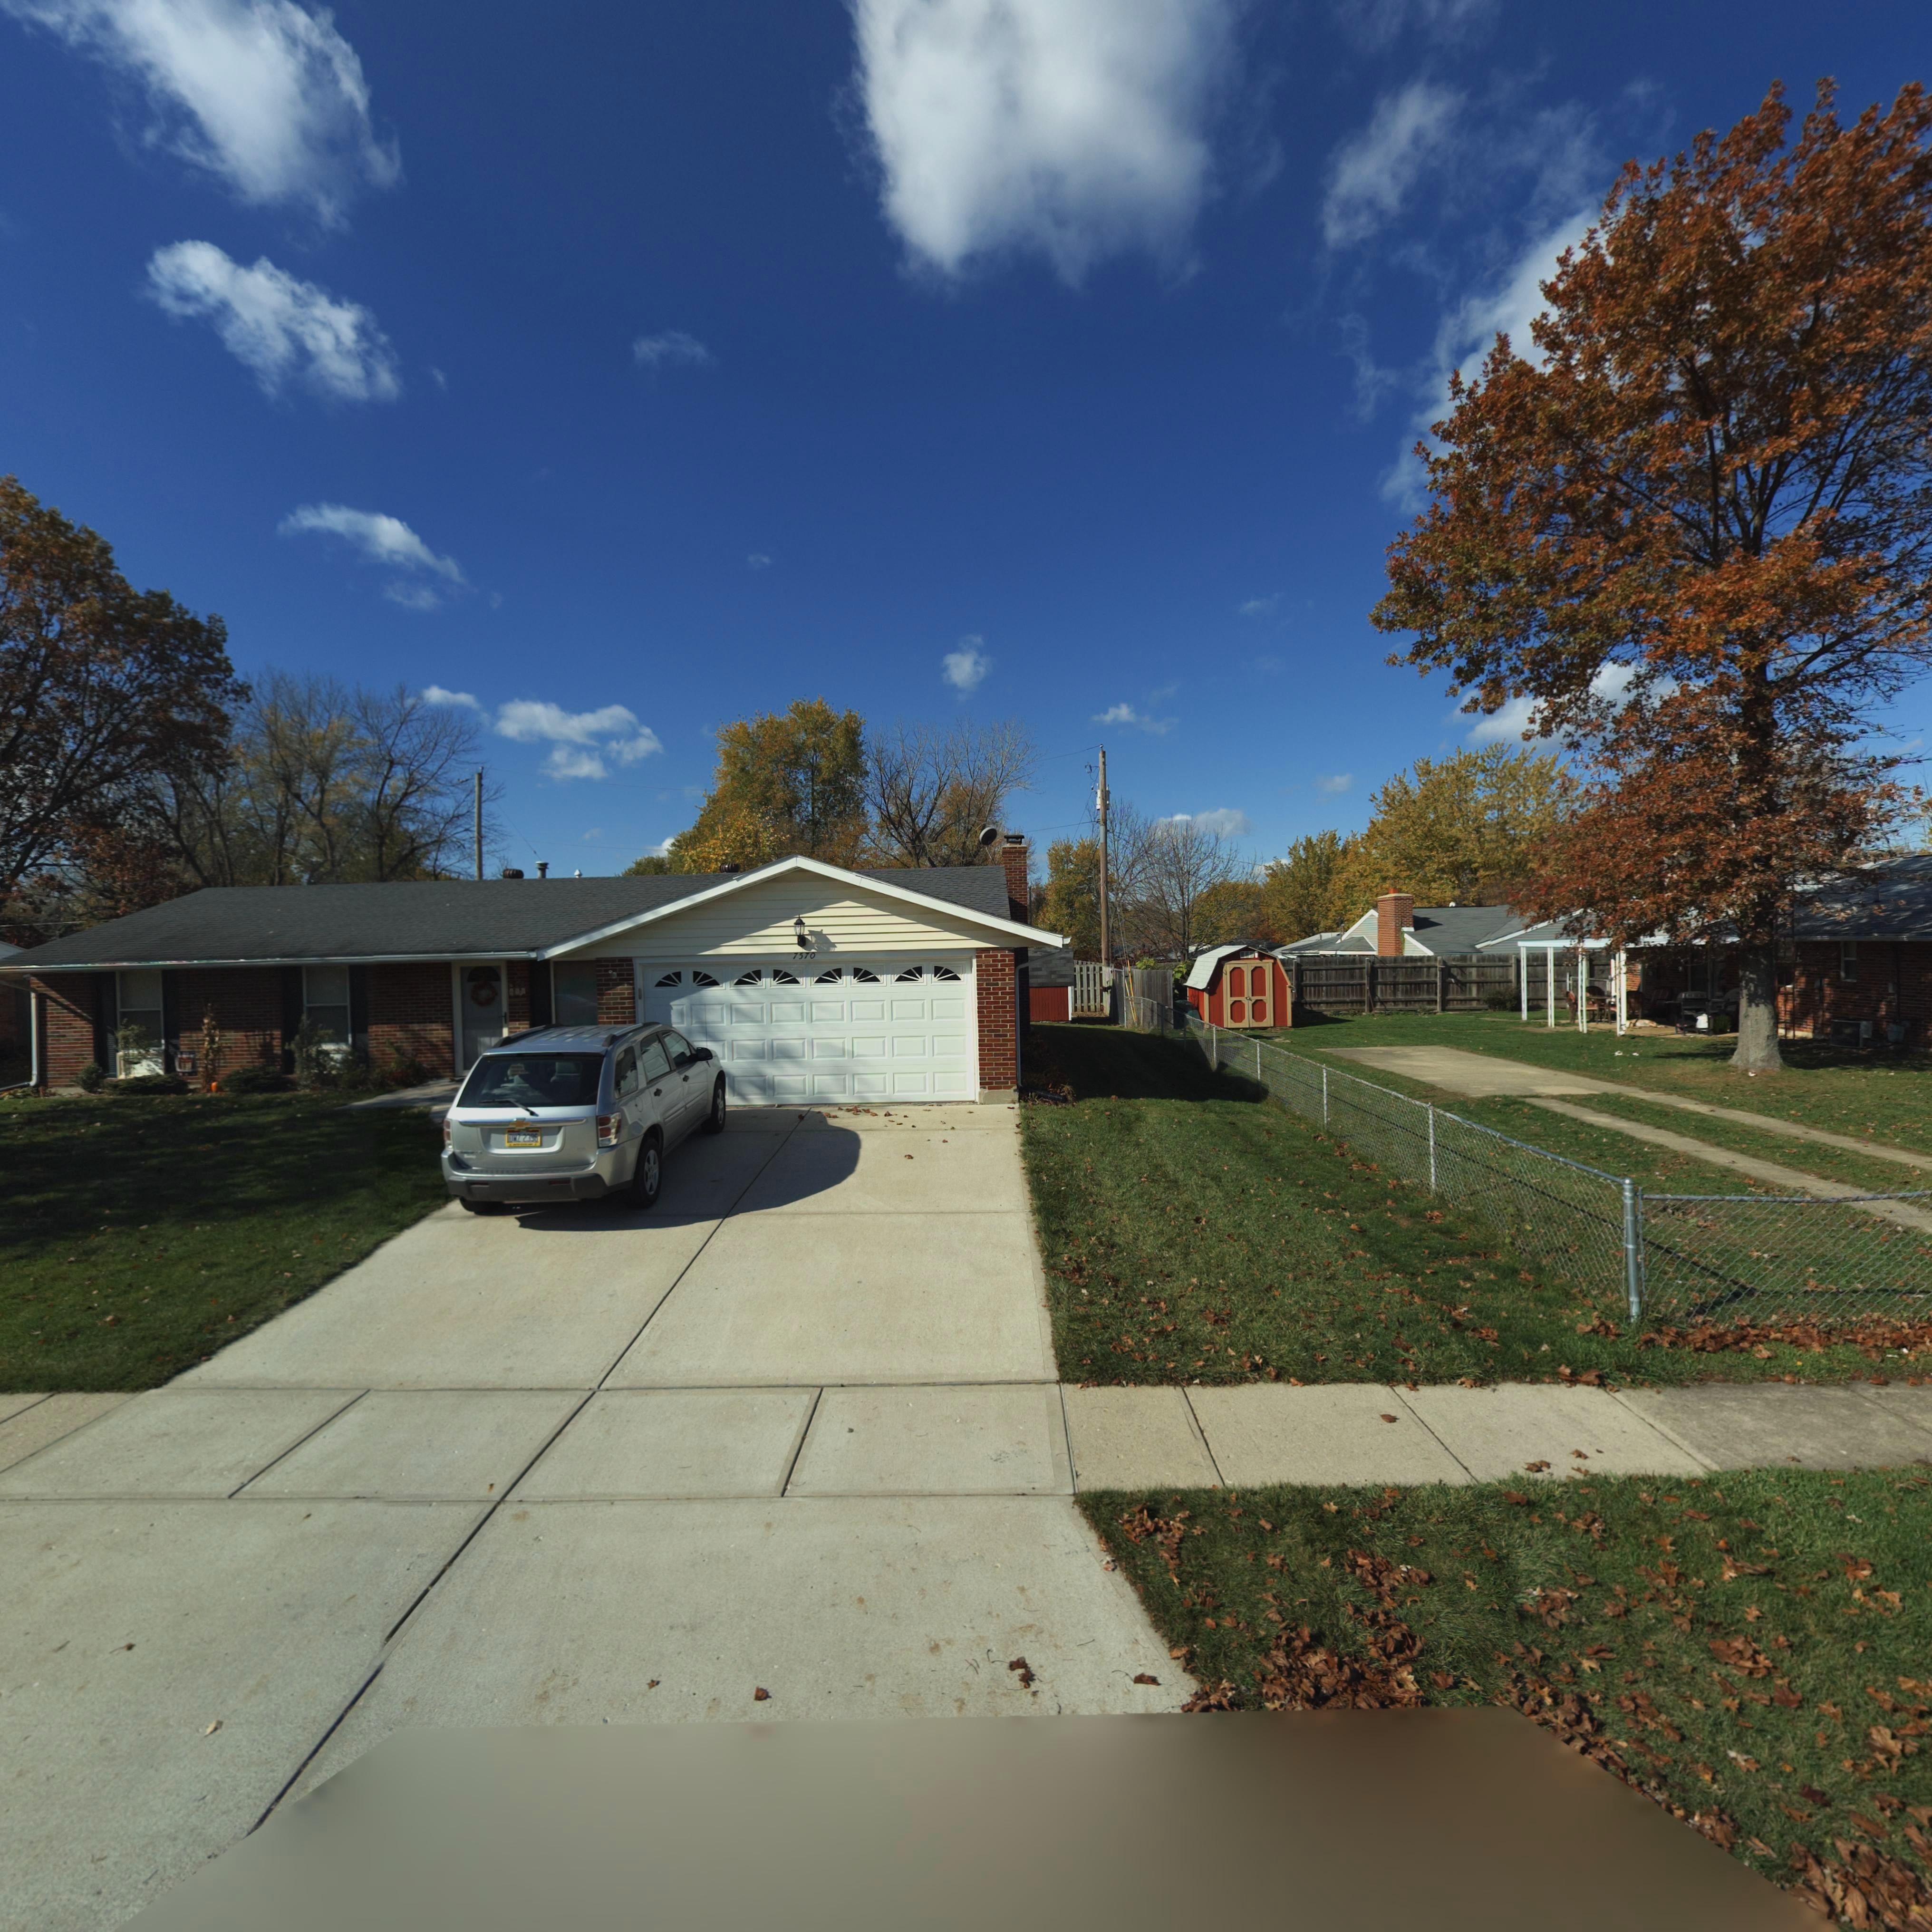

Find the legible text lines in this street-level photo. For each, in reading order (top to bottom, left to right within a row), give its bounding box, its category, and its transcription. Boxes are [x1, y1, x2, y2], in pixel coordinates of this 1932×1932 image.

[792, 951, 817, 961] StreetNumber: 7570